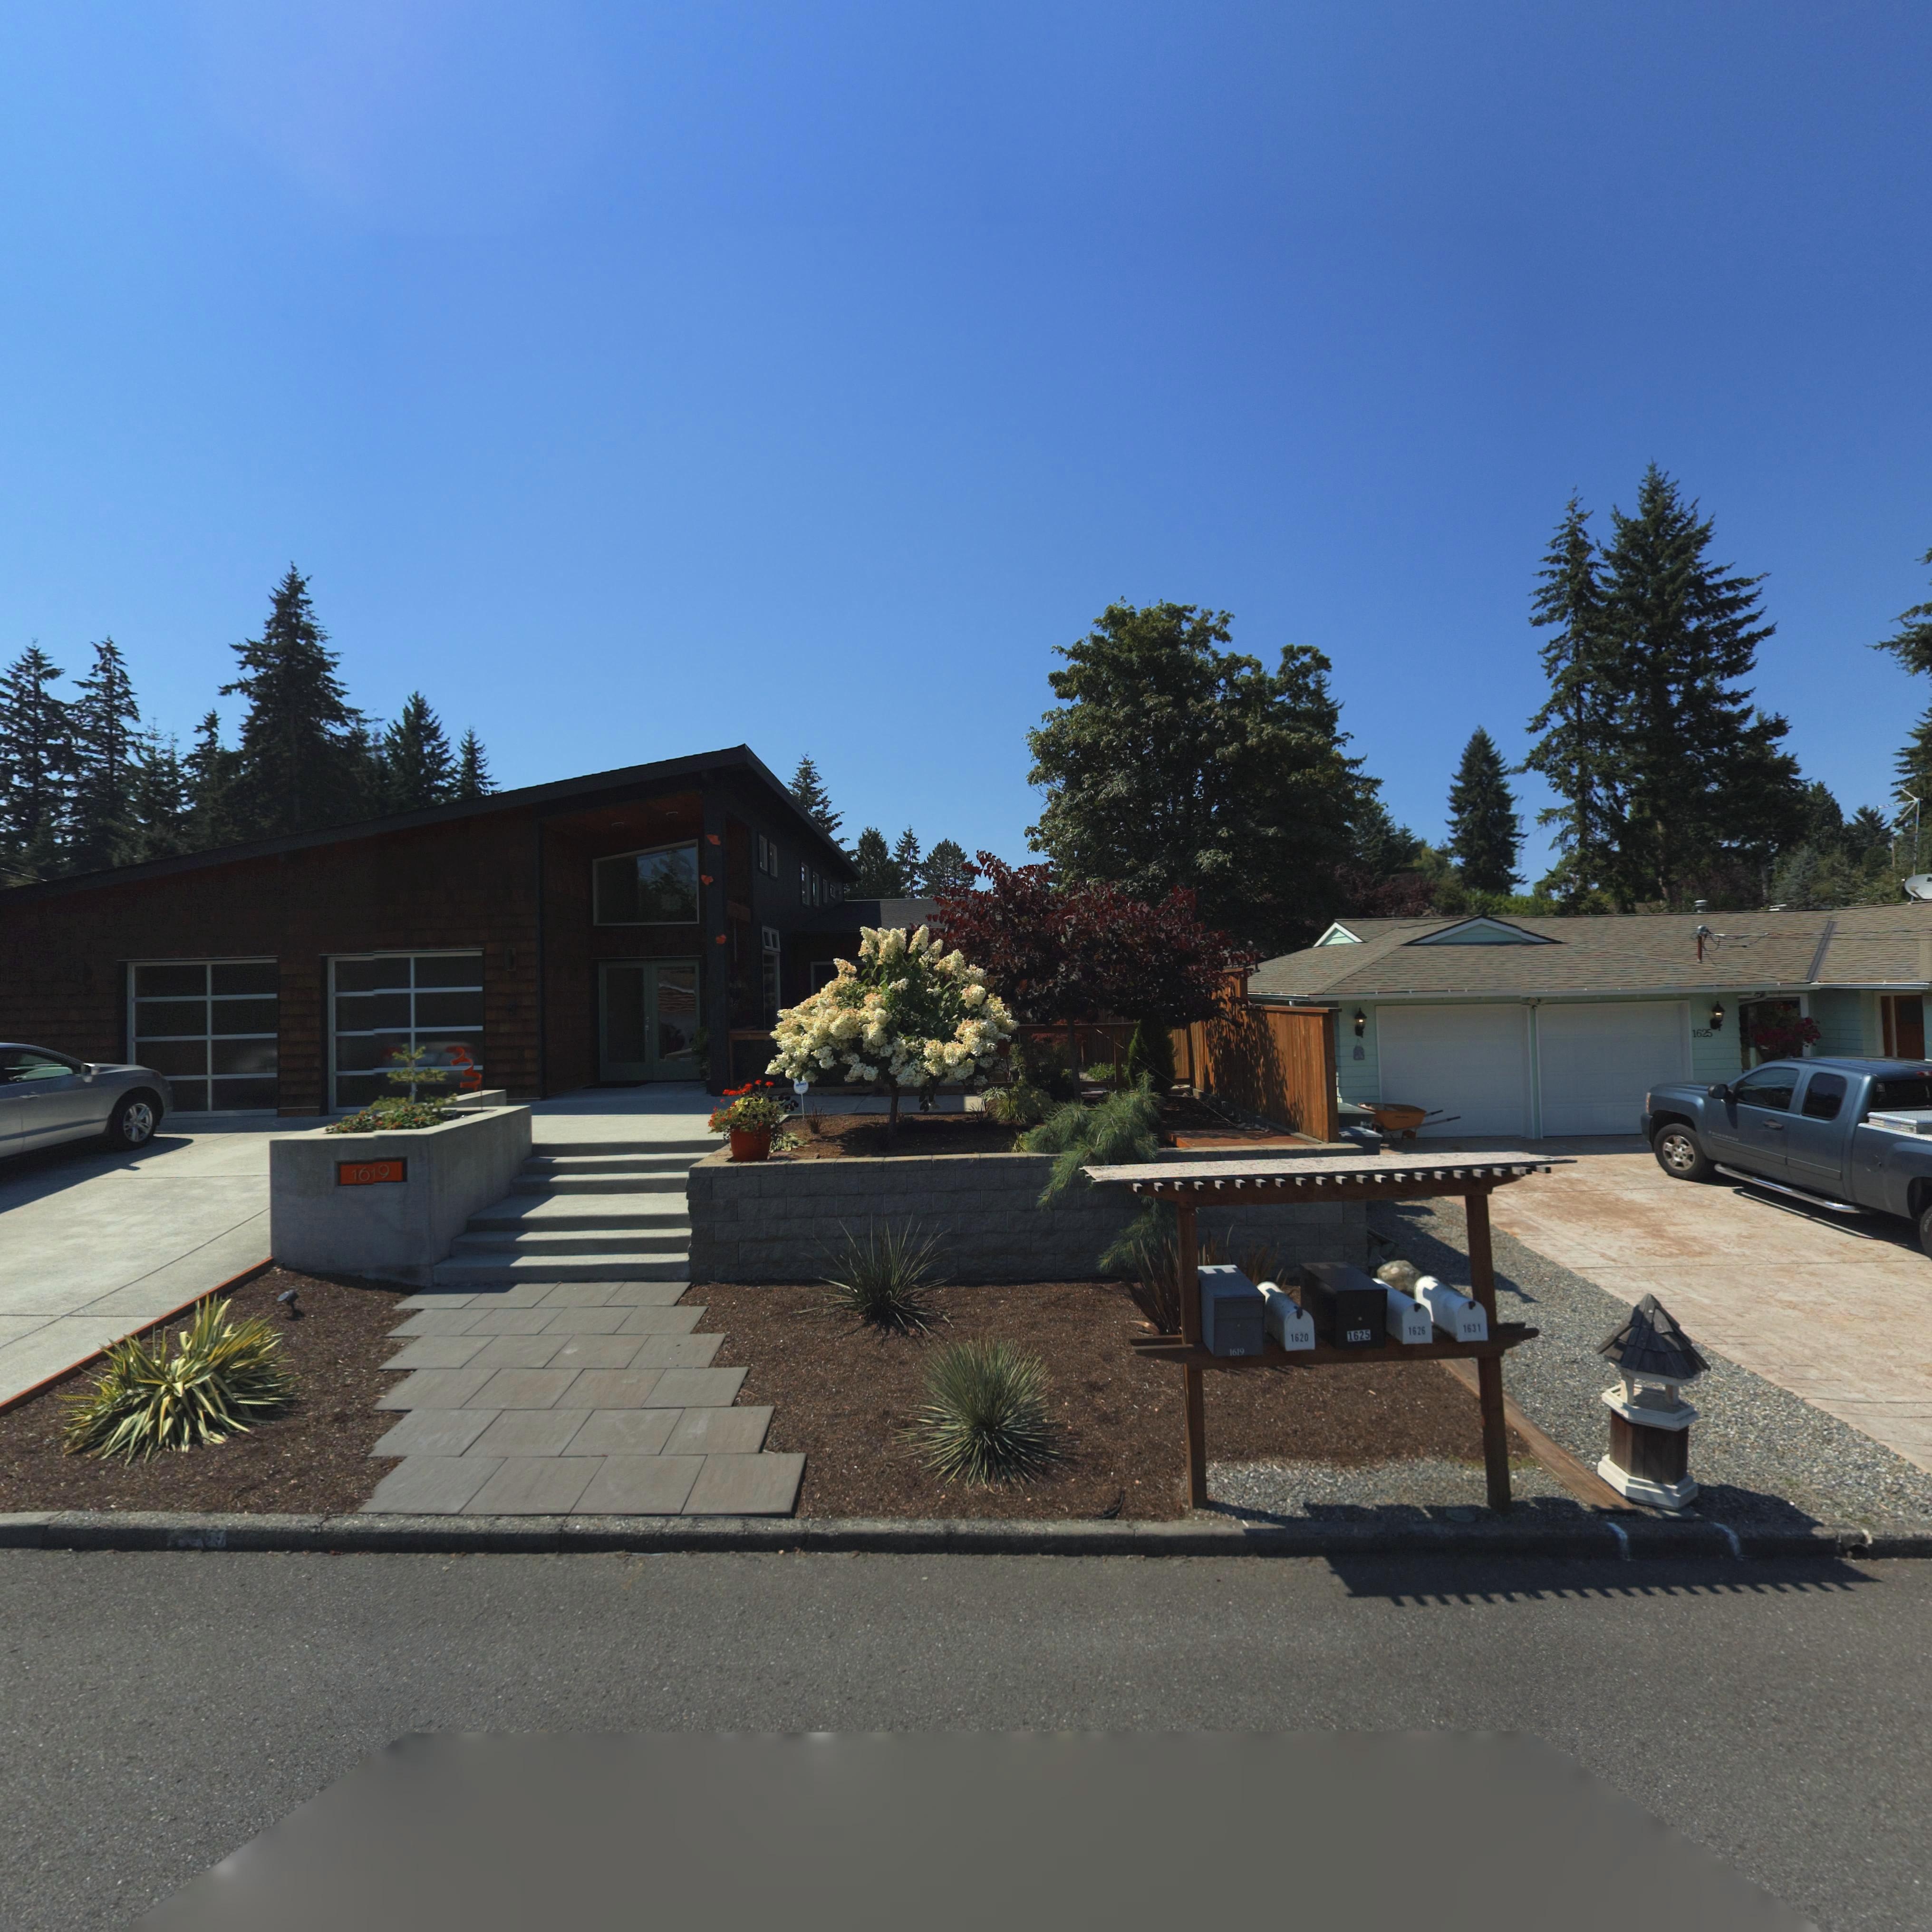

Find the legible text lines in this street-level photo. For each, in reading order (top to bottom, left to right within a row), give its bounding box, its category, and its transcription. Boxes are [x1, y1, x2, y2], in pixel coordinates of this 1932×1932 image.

[1691, 1028, 1713, 1037] StreetNumber: 1625
[352, 1164, 392, 1183] StreetNumber: 1619
[1290, 1333, 1309, 1343] StreetNumber: 1620
[1347, 1329, 1370, 1341] StreetNumber: 1625
[1408, 1325, 1426, 1335] StreetNumber: 1626
[1463, 1323, 1481, 1333] StreetNumber: 1631
[1228, 1347, 1245, 1357] StreetNumber: 1619